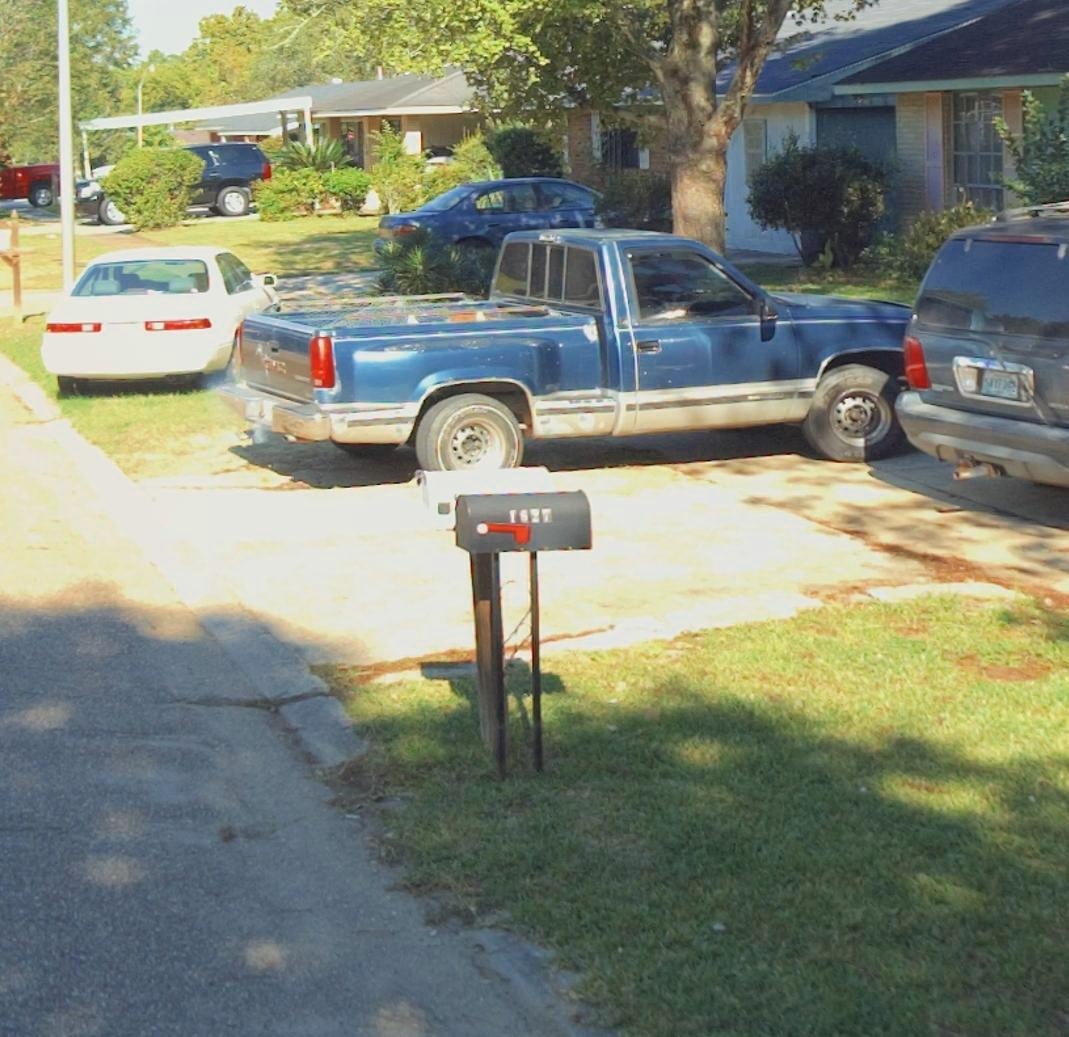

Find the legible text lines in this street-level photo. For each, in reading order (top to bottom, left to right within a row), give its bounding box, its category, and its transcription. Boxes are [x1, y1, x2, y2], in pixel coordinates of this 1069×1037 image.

[509, 508, 552, 524] StreetNumber: 1627